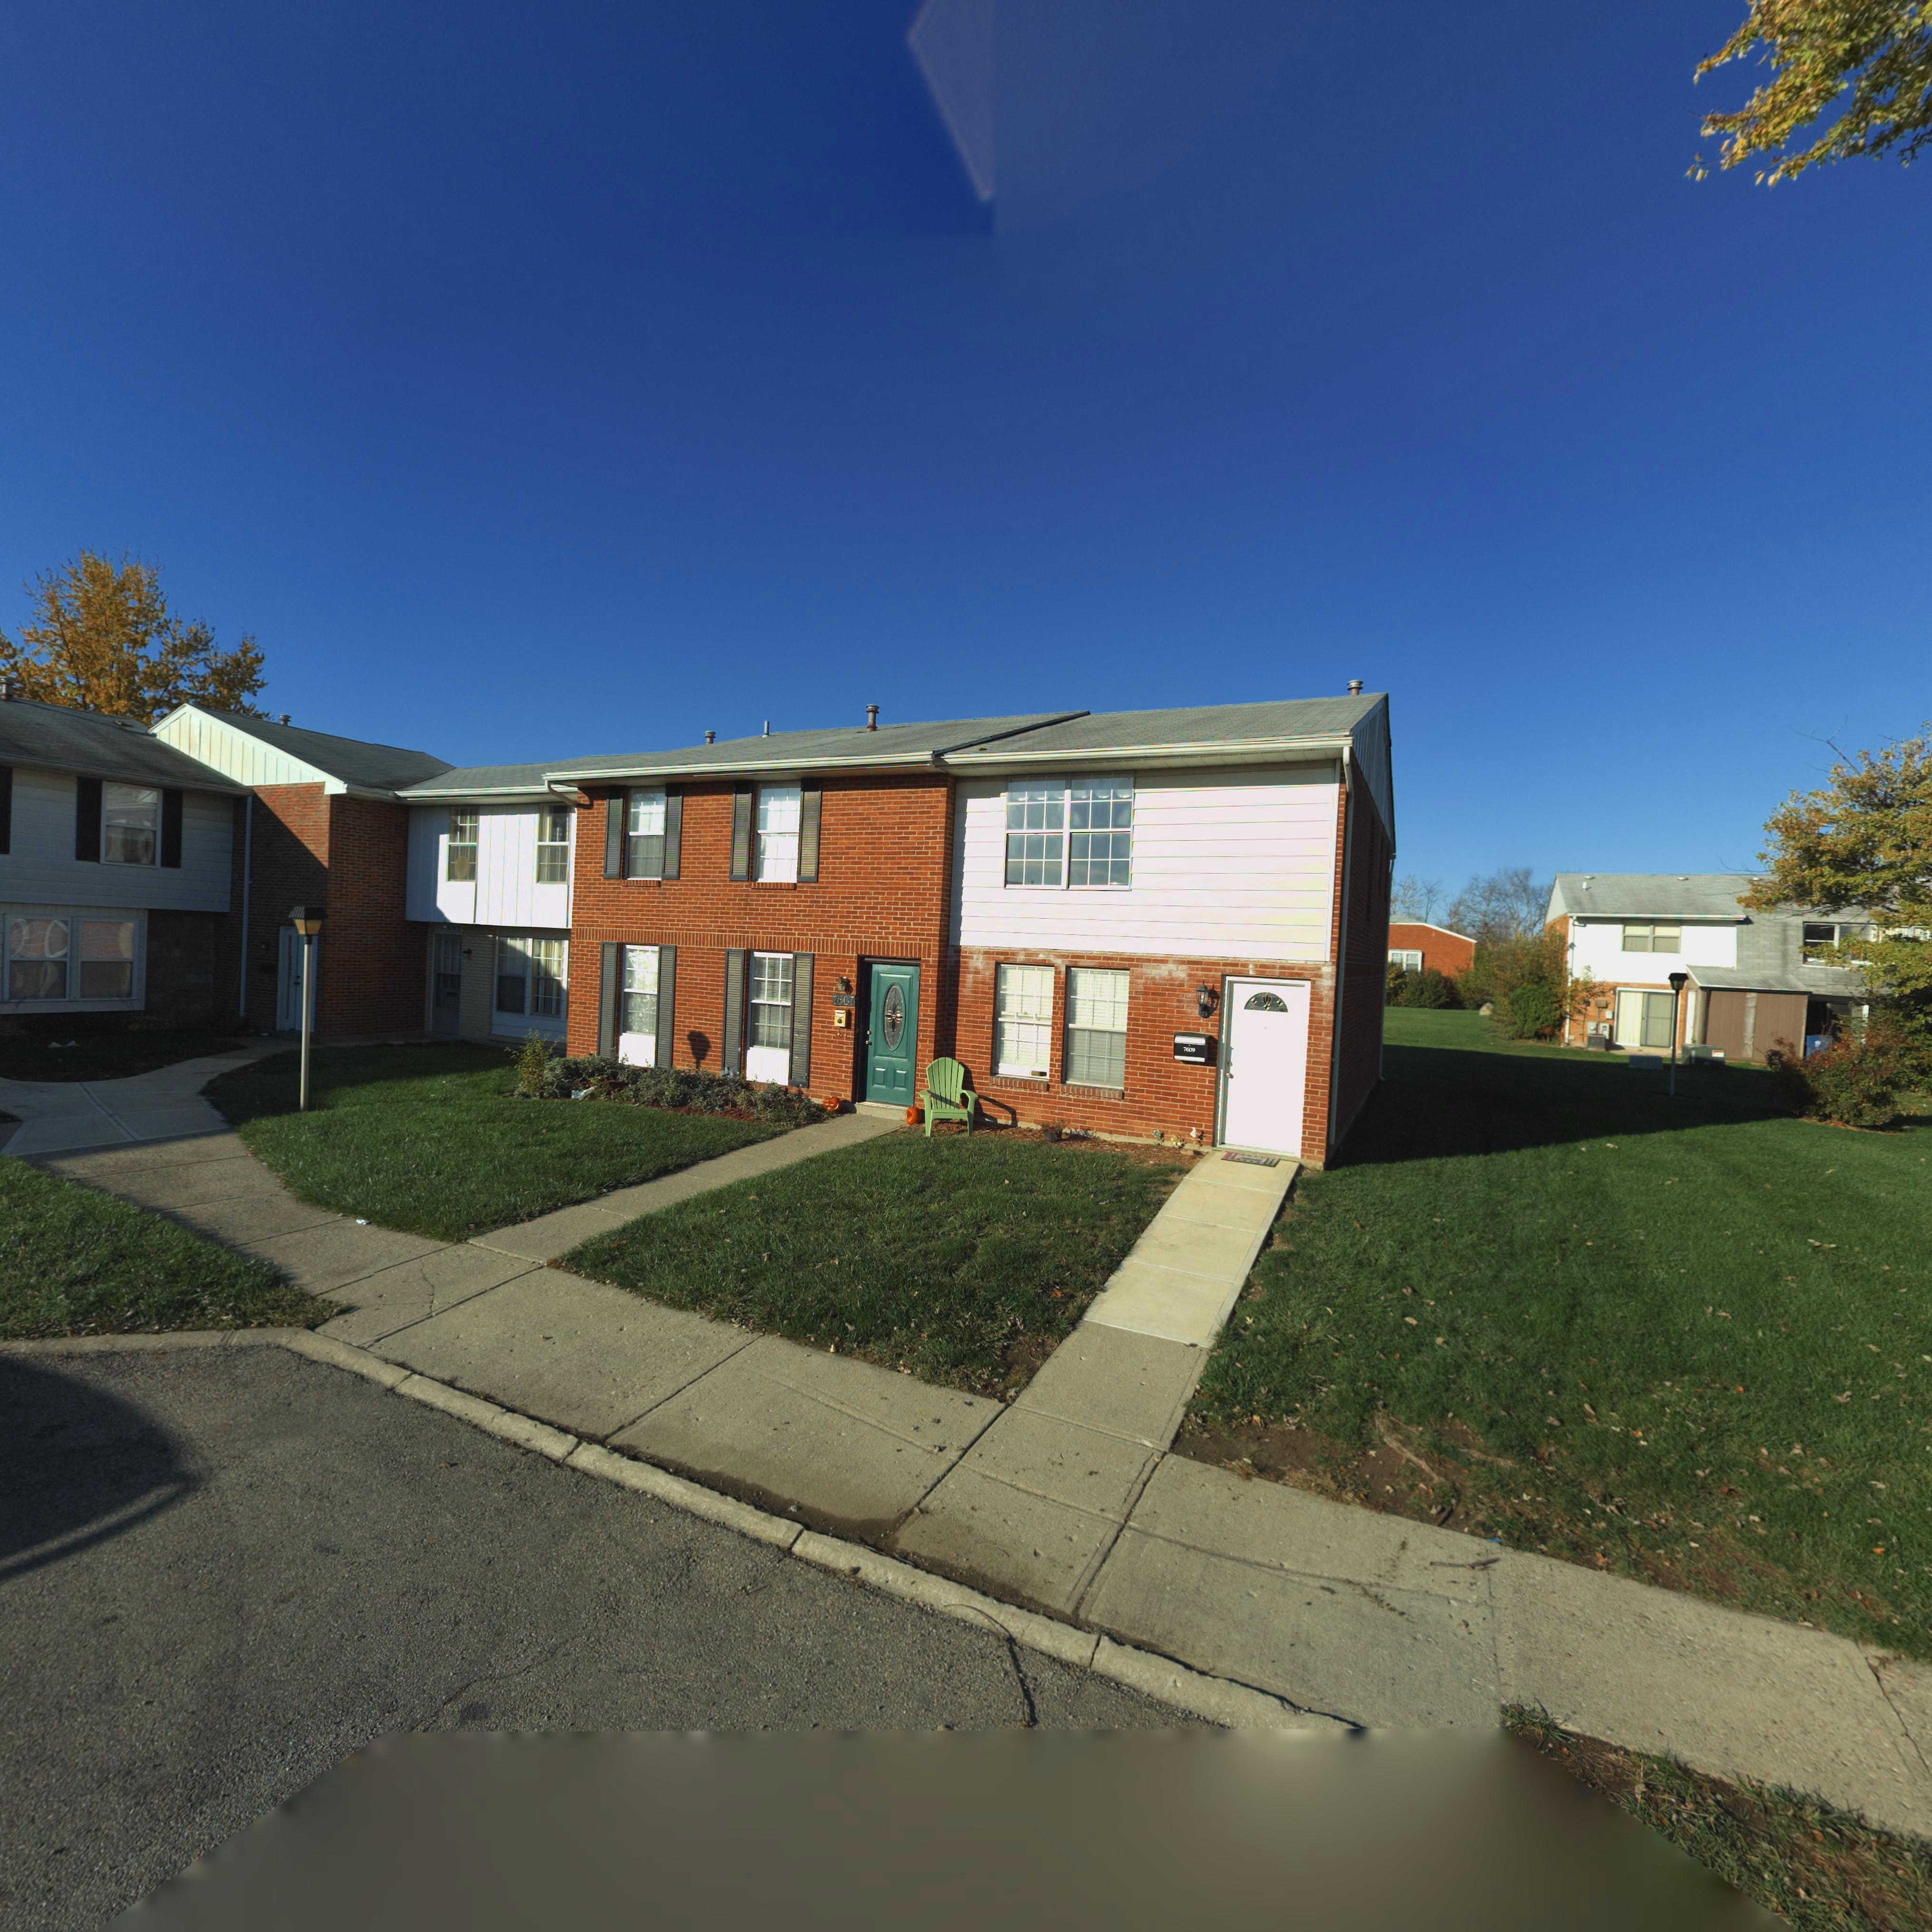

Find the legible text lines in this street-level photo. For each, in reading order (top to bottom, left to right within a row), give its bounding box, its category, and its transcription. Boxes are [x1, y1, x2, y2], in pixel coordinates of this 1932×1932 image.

[452, 925, 461, 931] StreetNumber: 05
[832, 995, 856, 1006] StreetNumber: 7607
[1182, 1046, 1196, 1053] StreetNumber: 7609